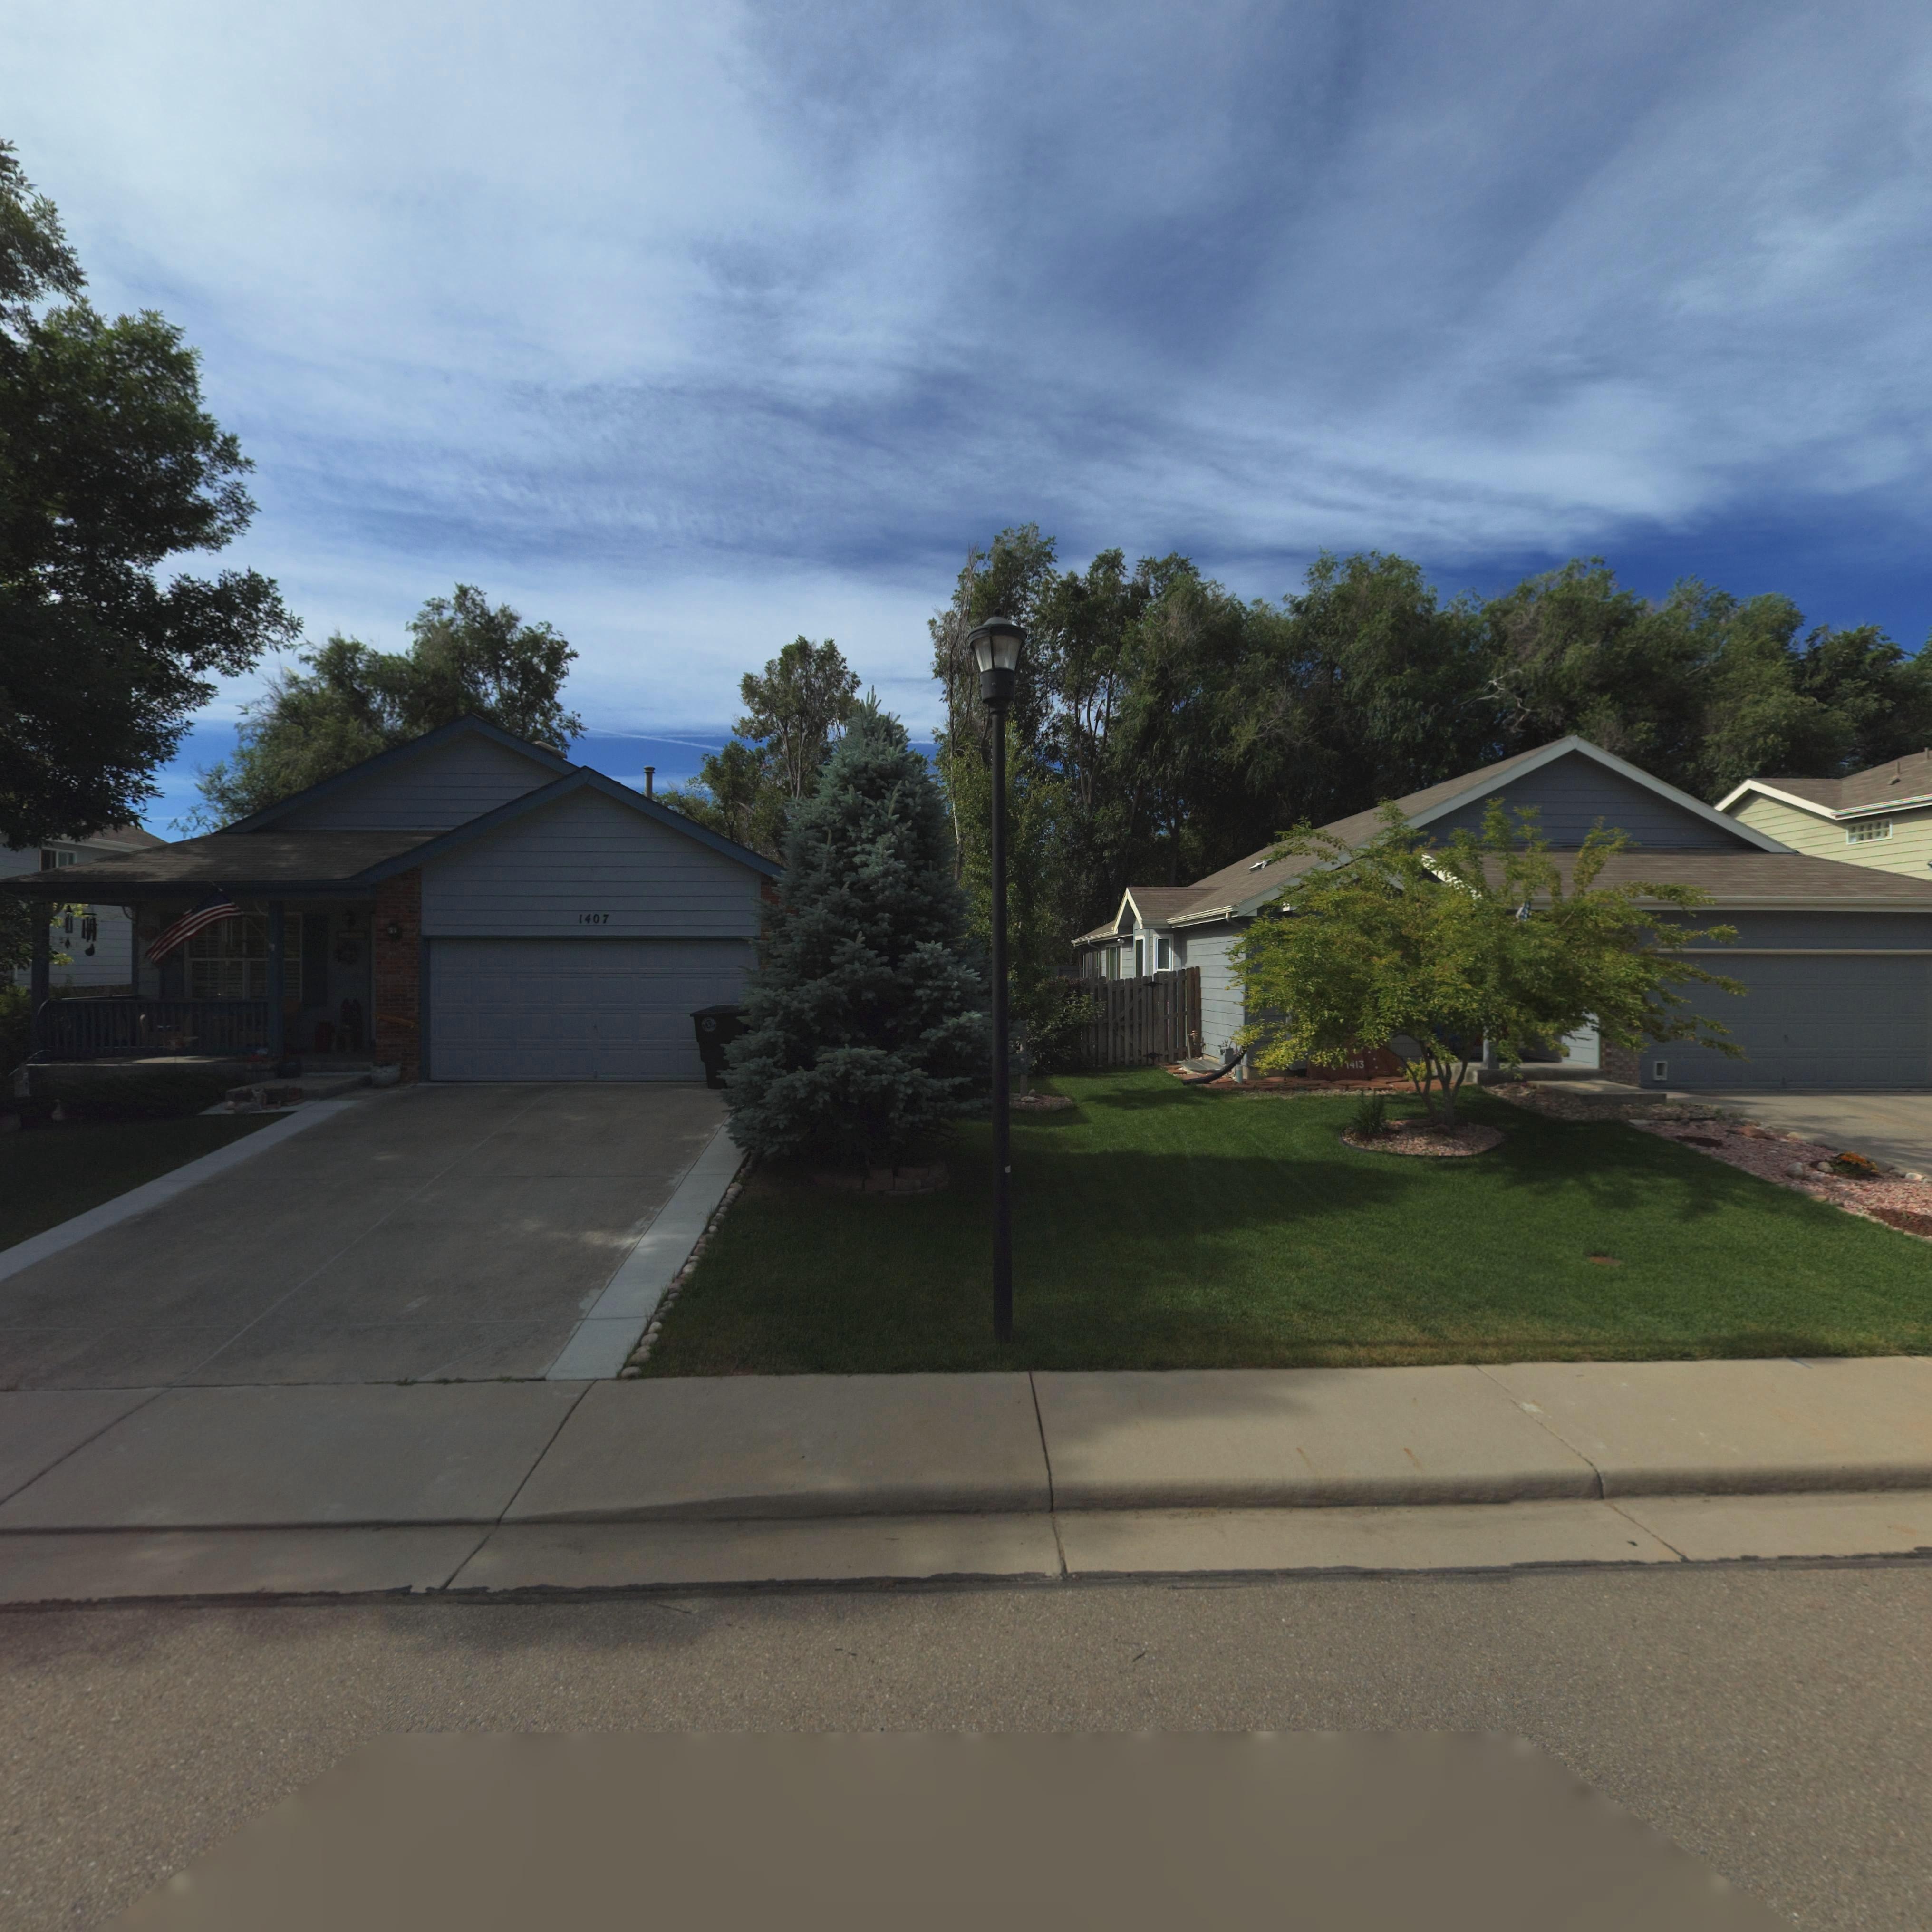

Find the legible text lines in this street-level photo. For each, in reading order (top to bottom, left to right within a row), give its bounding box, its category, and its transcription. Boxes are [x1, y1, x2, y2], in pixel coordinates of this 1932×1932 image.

[579, 913, 610, 924] StreetNumber: 1407